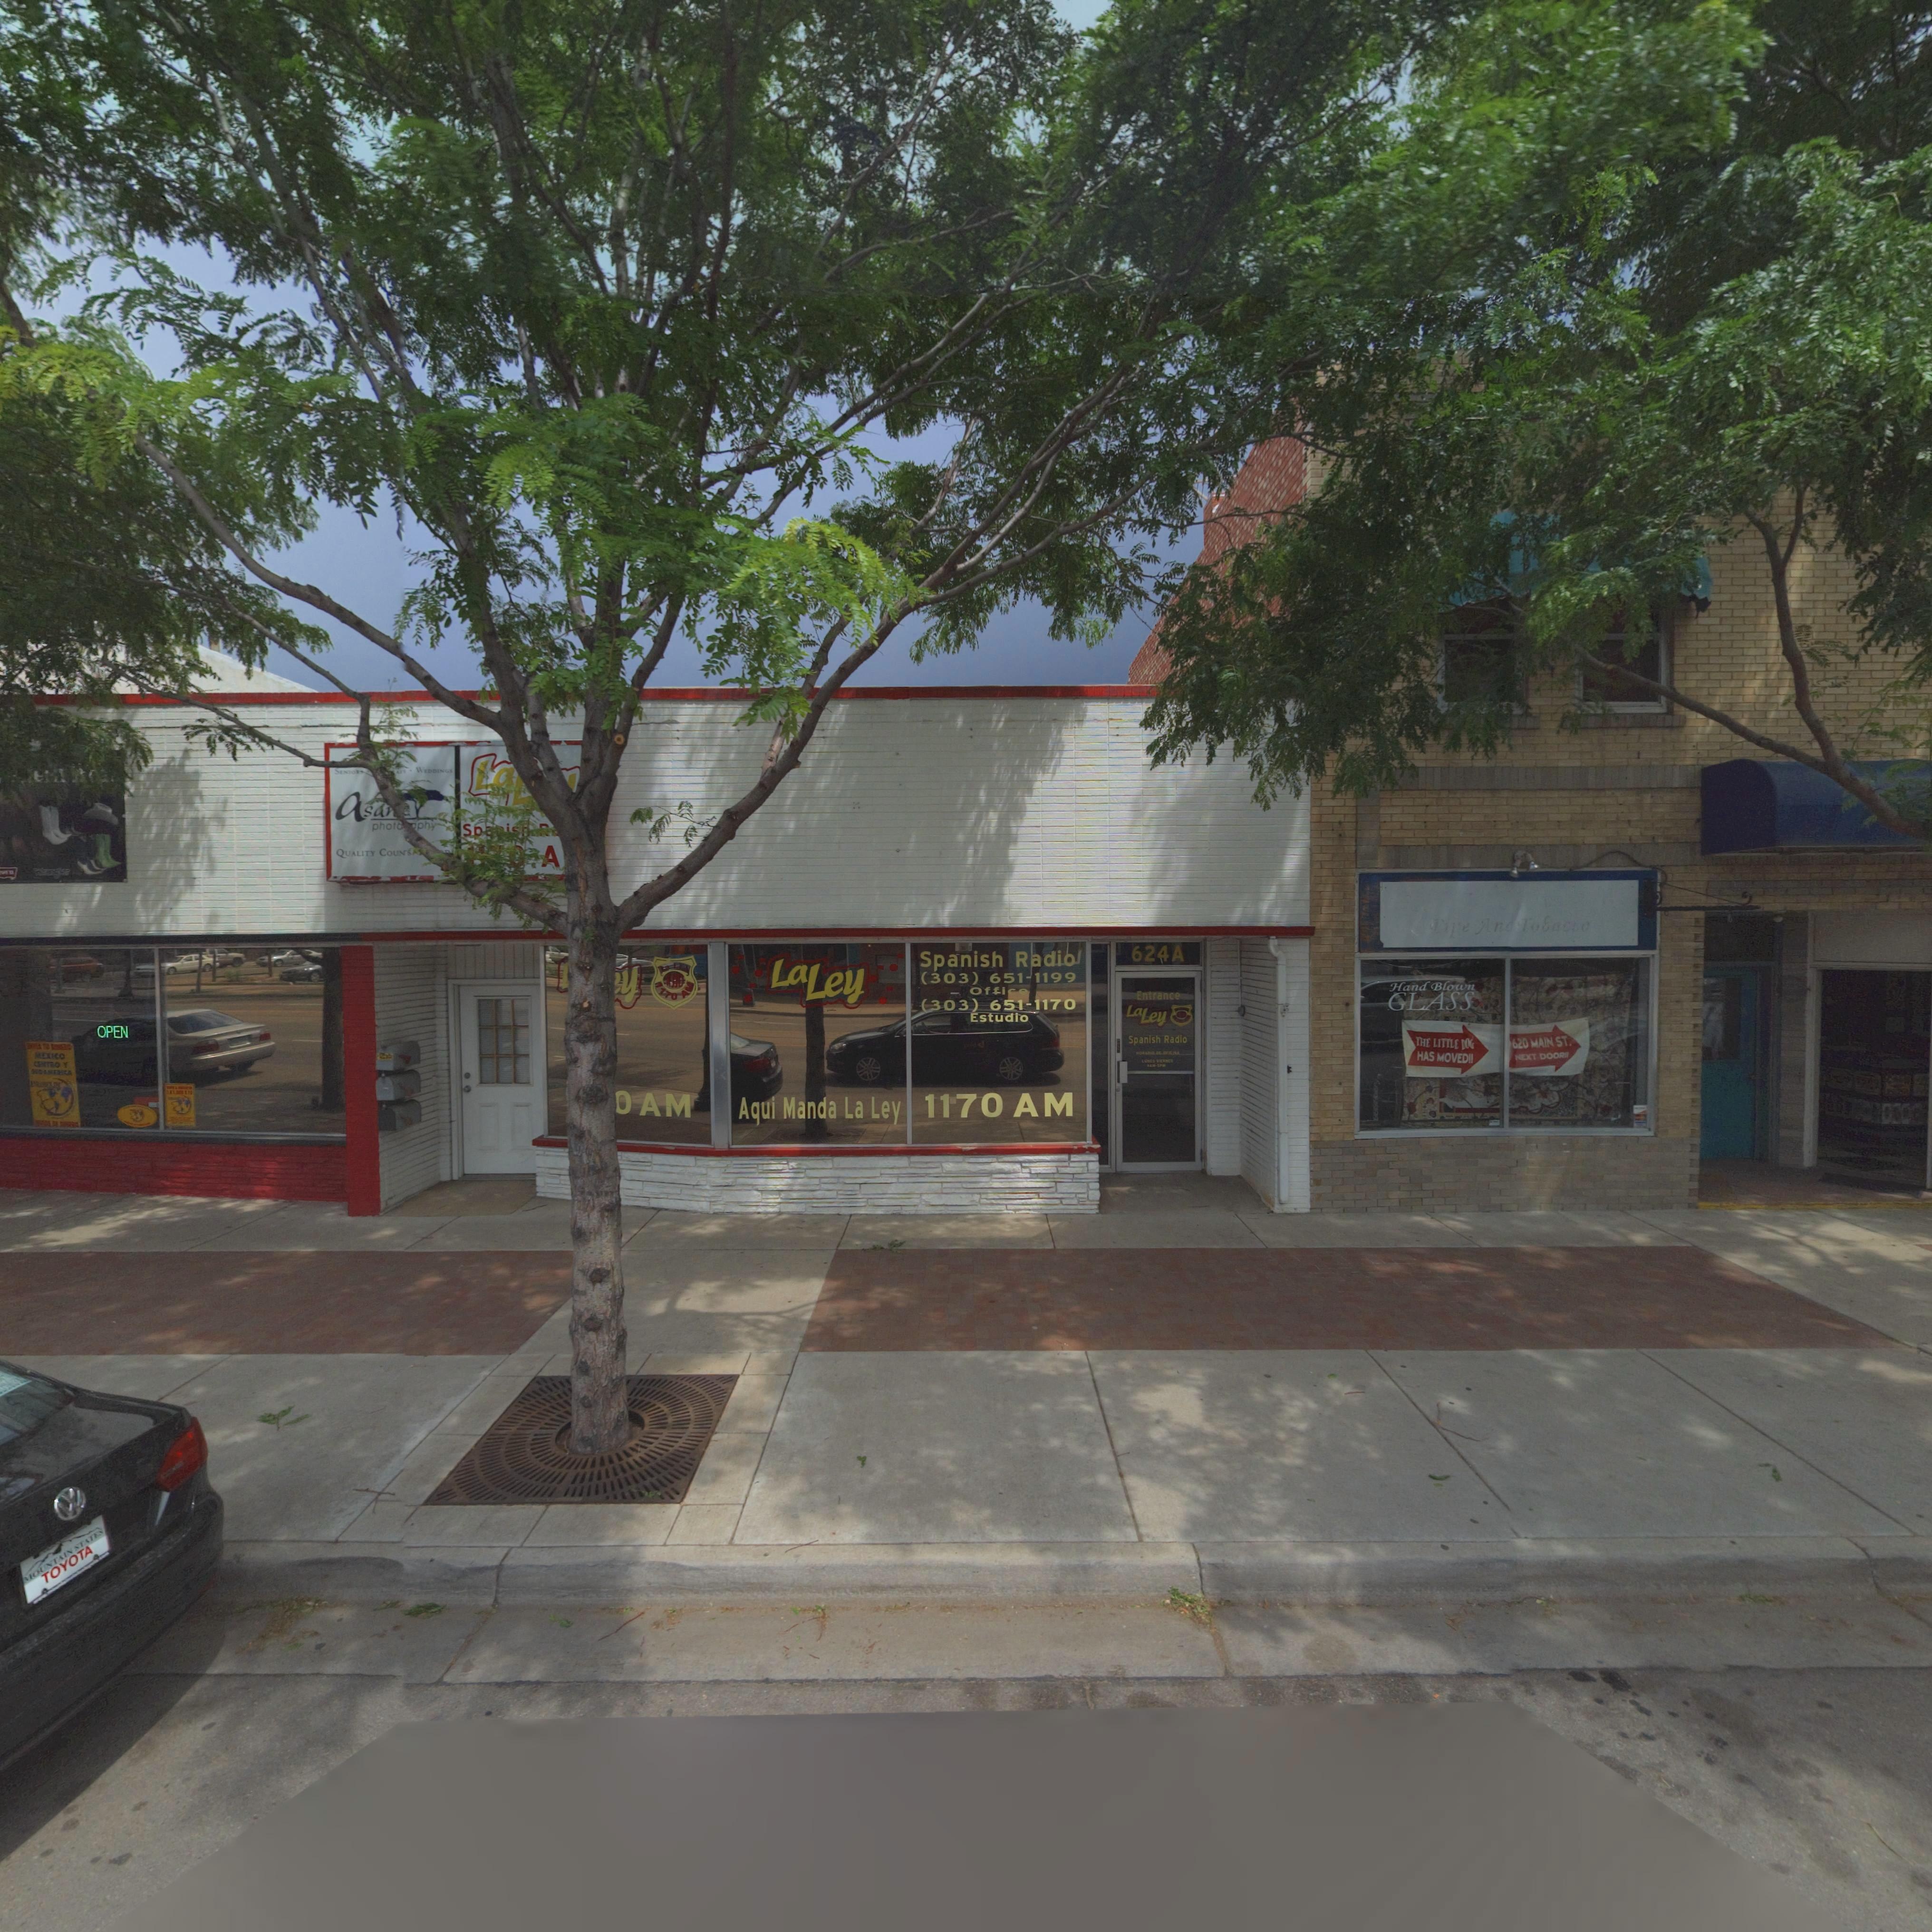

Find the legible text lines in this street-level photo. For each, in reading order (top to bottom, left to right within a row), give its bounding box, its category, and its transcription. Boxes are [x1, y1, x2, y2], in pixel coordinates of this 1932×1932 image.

[473, 757, 515, 793] BusinessName: La
[332, 790, 385, 823] BusinessName: asa
[620, 967, 638, 1003] BusinessName: y
[770, 956, 867, 1005] BusinessName: LaLey
[1126, 1002, 1168, 1026] BusinessName: LaLey